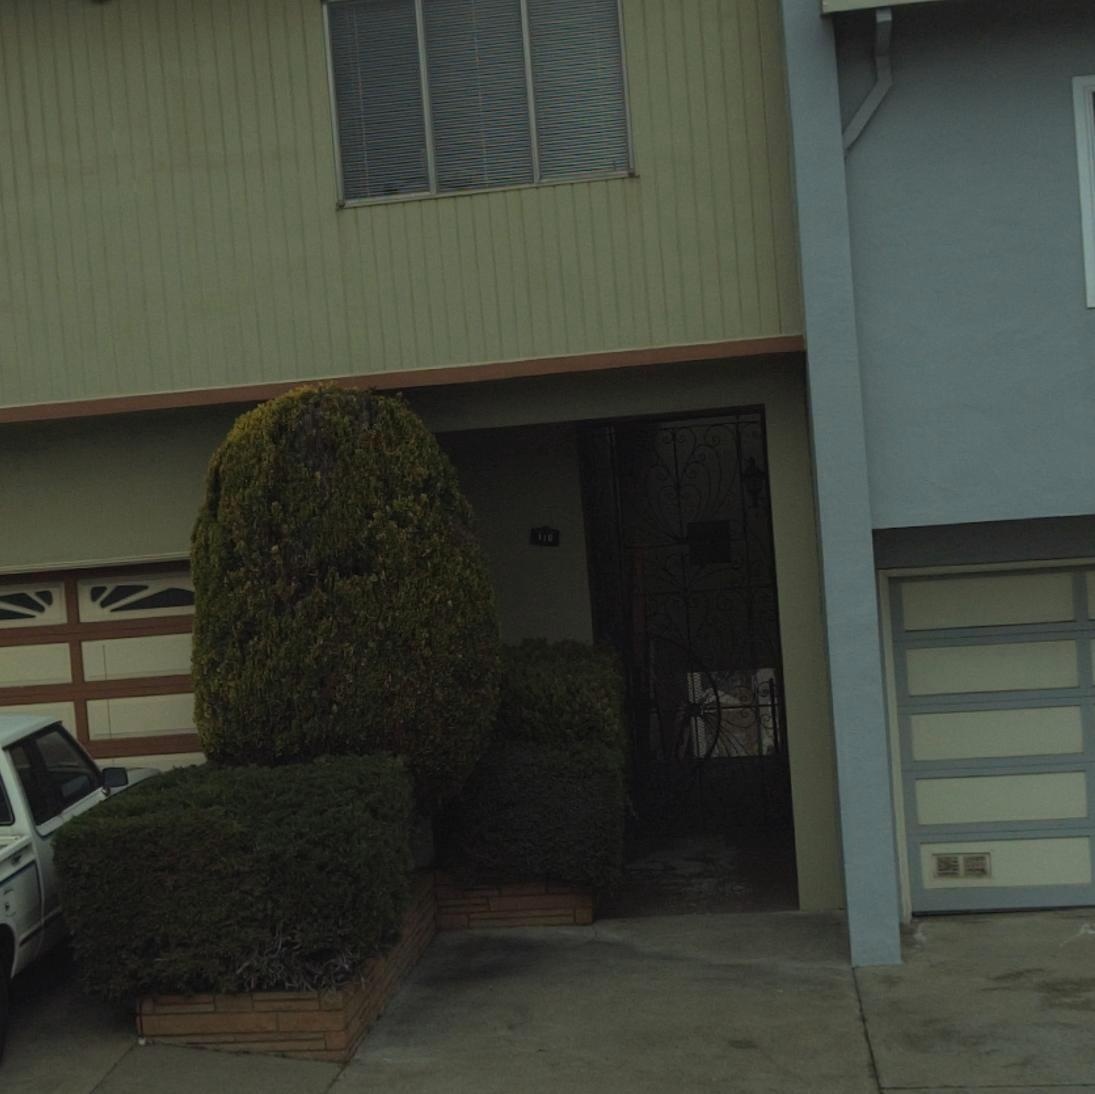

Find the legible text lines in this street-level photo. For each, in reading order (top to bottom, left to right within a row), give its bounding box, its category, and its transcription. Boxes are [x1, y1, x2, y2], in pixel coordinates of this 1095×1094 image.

[537, 532, 554, 544] StreetNumber: 110